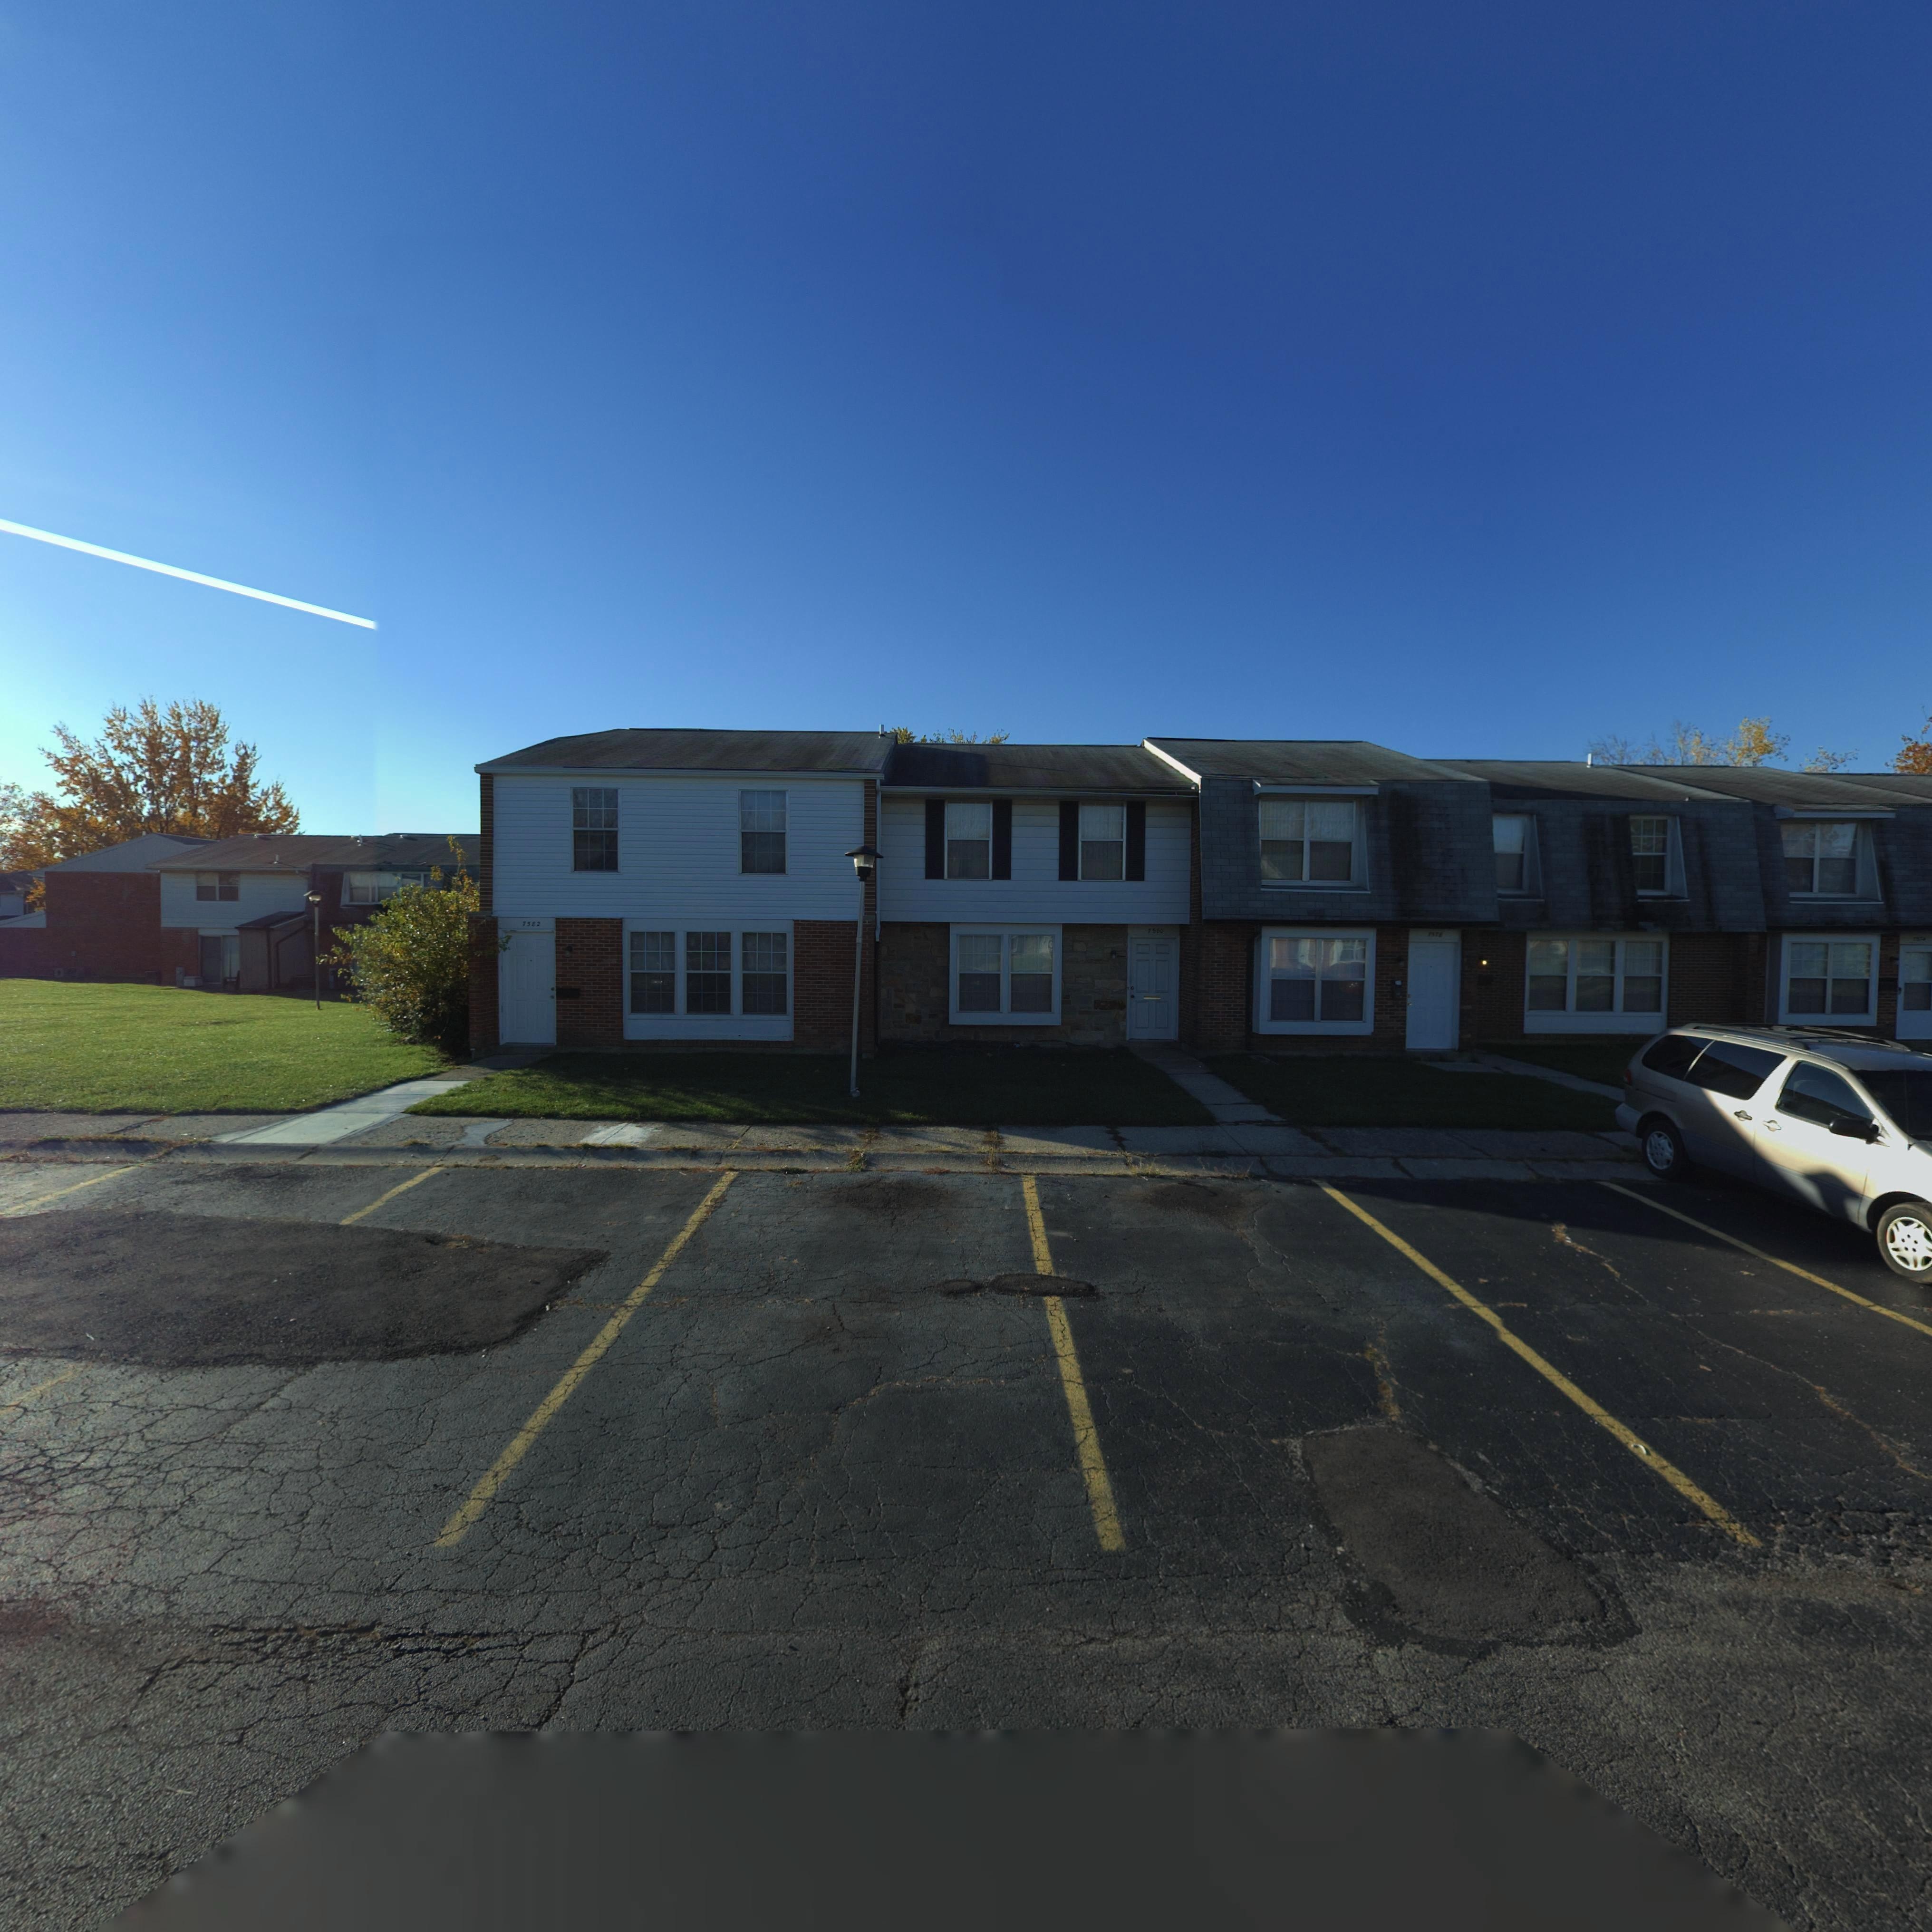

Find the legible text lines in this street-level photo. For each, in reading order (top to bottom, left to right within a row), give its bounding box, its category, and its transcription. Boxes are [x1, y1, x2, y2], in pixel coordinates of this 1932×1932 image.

[522, 920, 541, 927] StreetNumber: 7582
[1147, 927, 1164, 935] StreetNumber: 75*0
[1427, 931, 1444, 938] StreetNumber: *57*